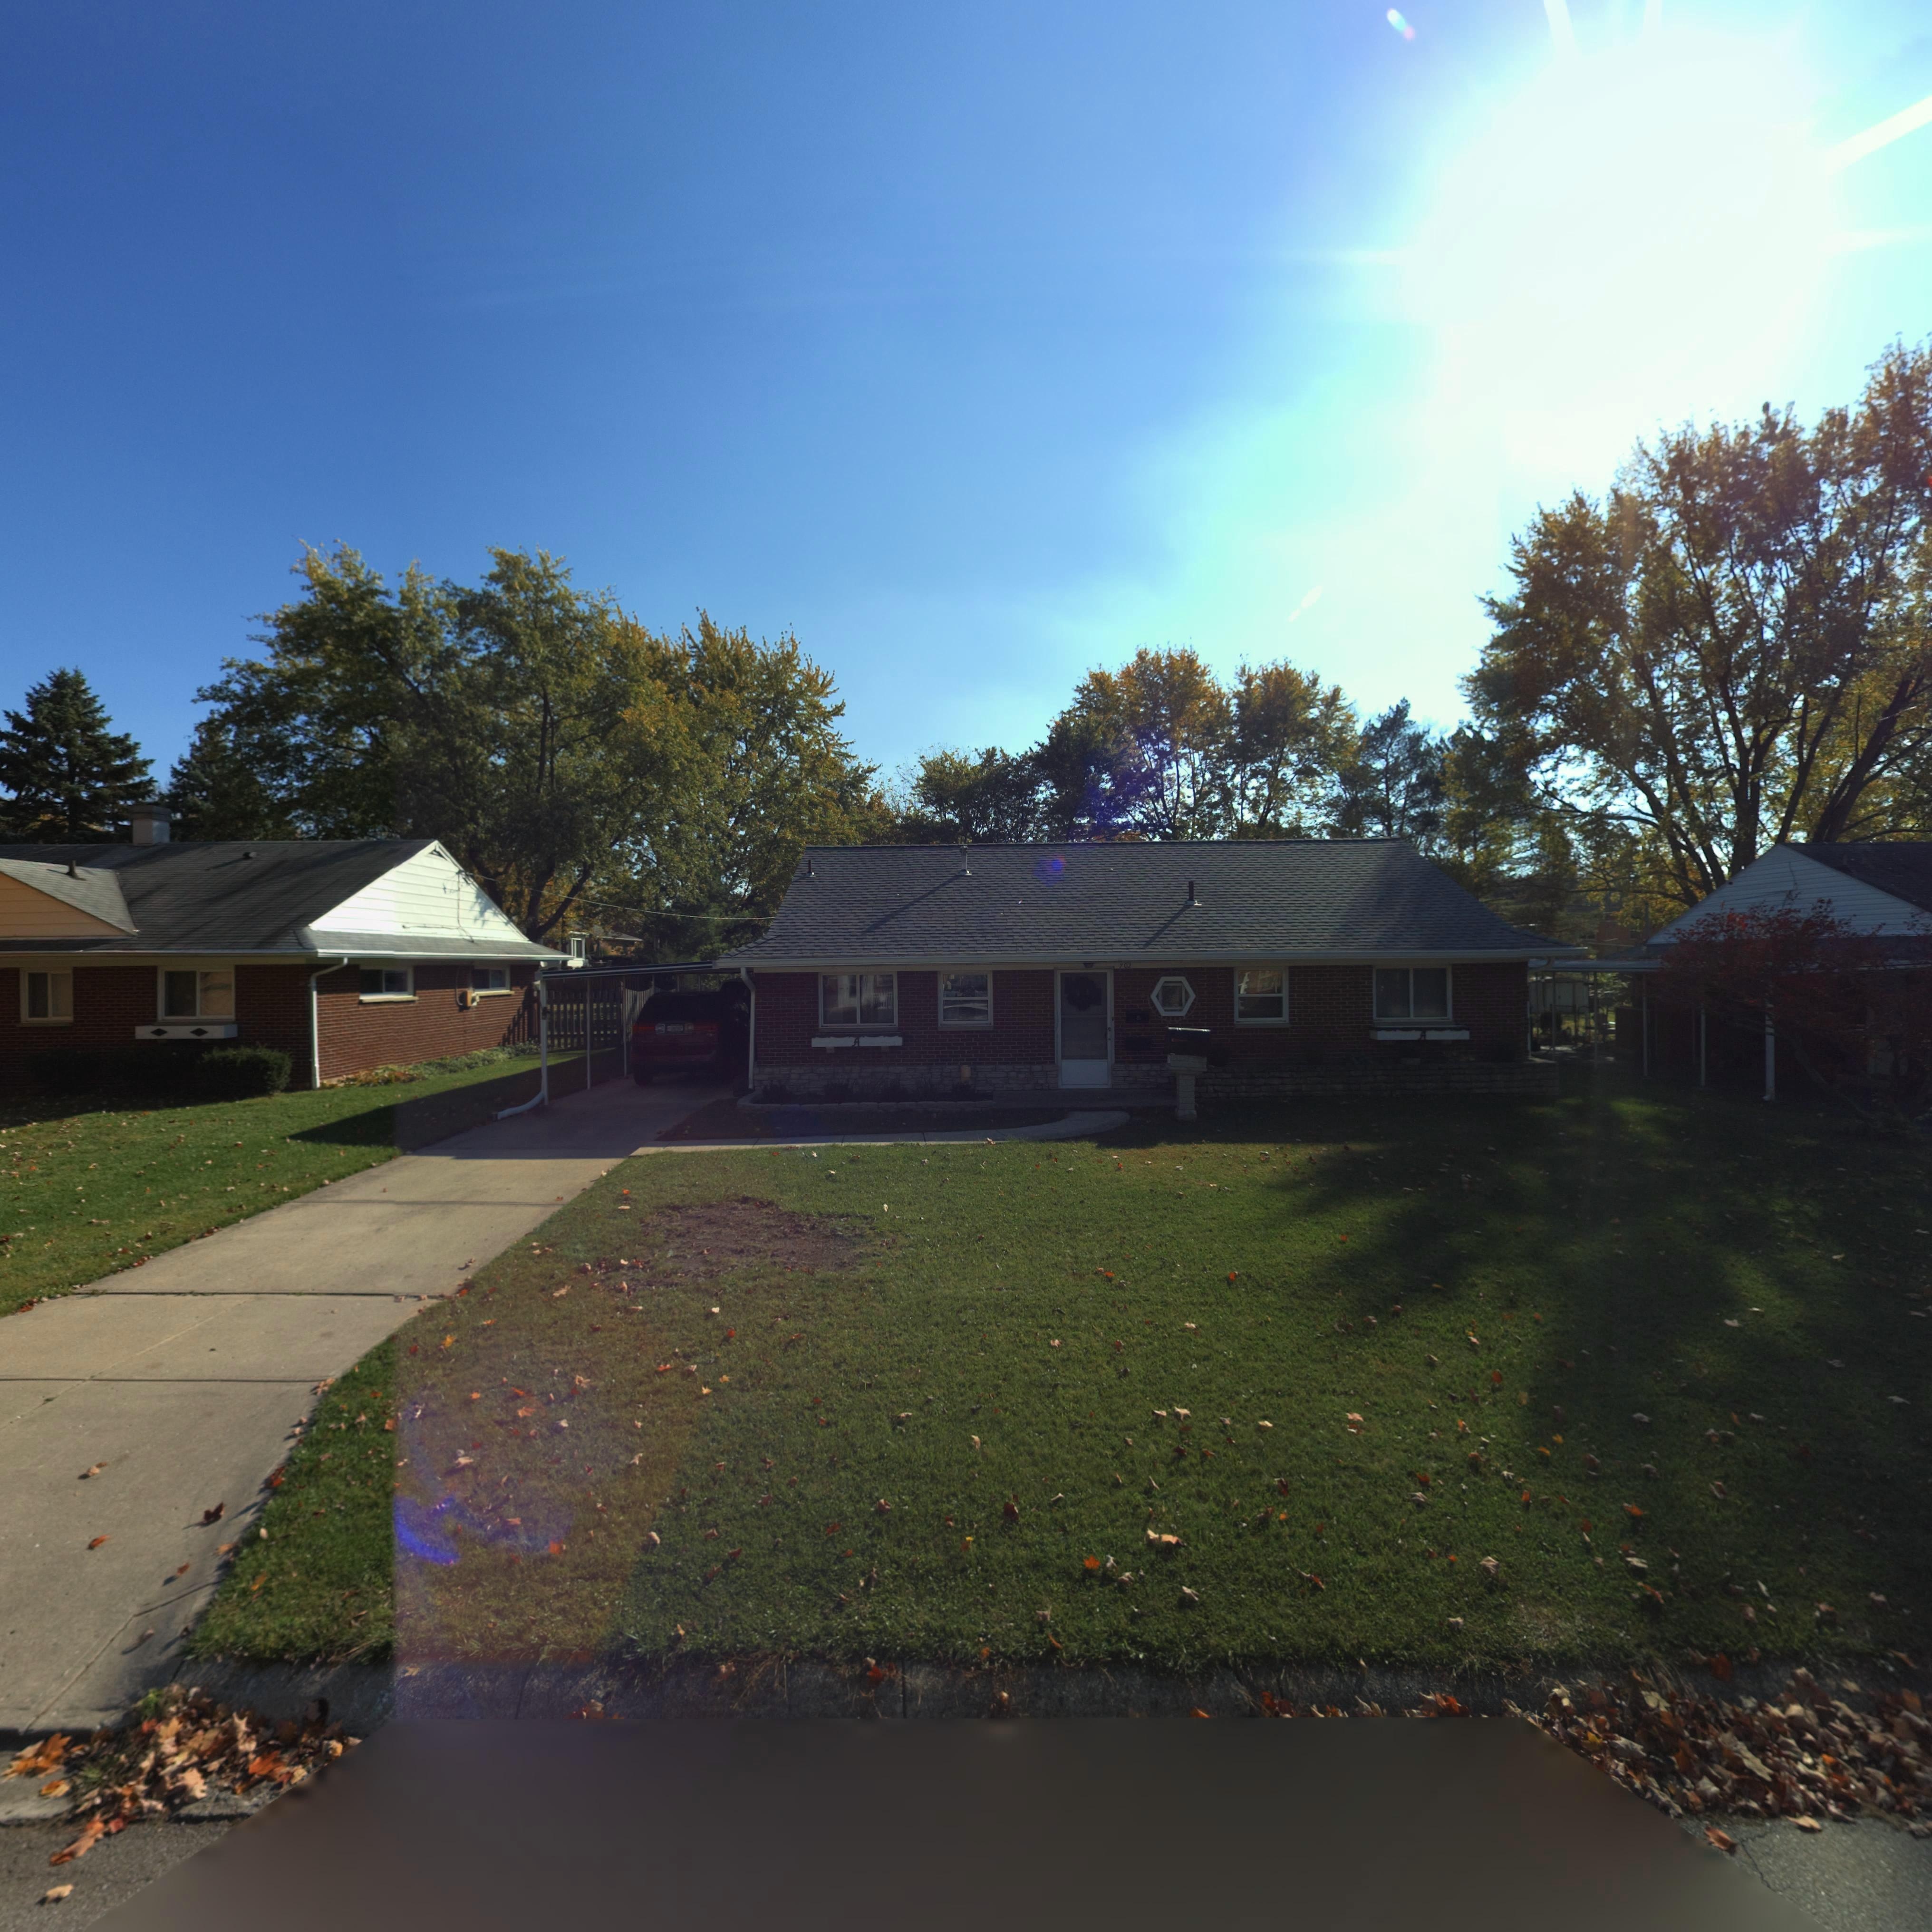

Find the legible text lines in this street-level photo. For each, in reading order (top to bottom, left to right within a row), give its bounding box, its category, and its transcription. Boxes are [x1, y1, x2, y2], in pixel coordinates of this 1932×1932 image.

[1118, 962, 1132, 969] StreetNumber: 702